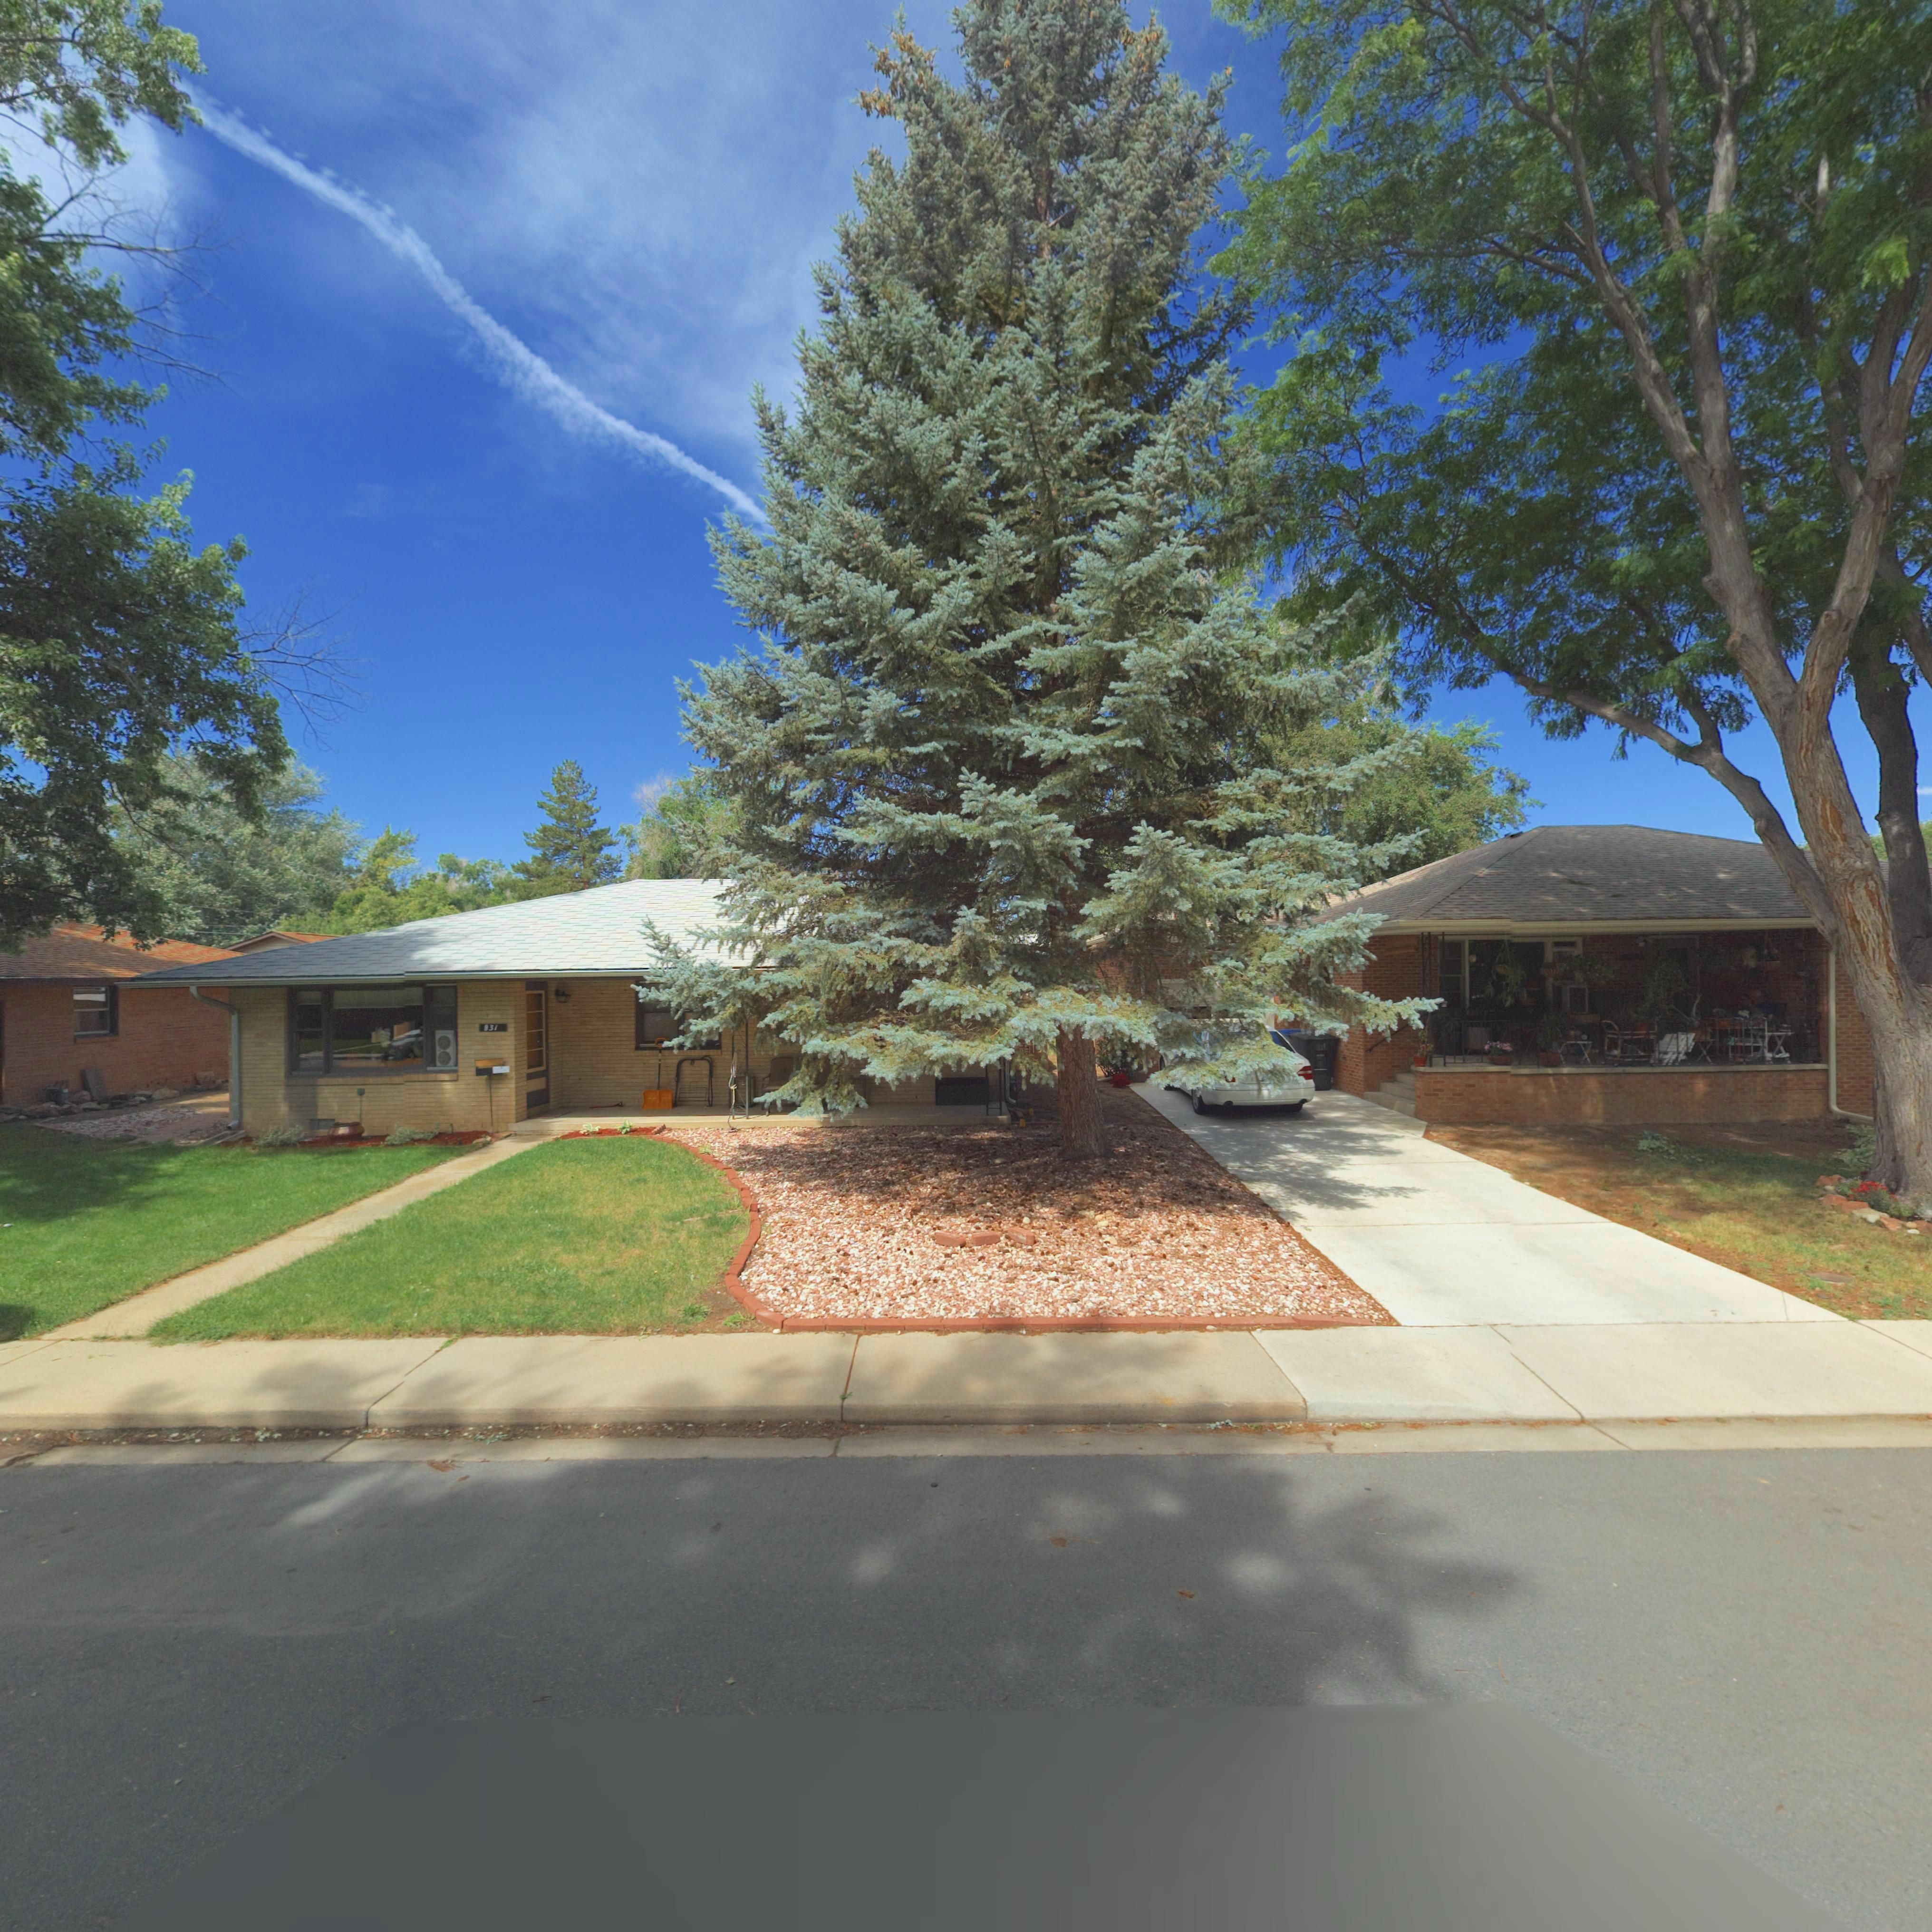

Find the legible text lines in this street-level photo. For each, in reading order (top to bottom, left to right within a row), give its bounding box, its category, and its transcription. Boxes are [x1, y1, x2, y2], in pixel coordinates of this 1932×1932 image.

[483, 1024, 498, 1031] StreetNumber: *31